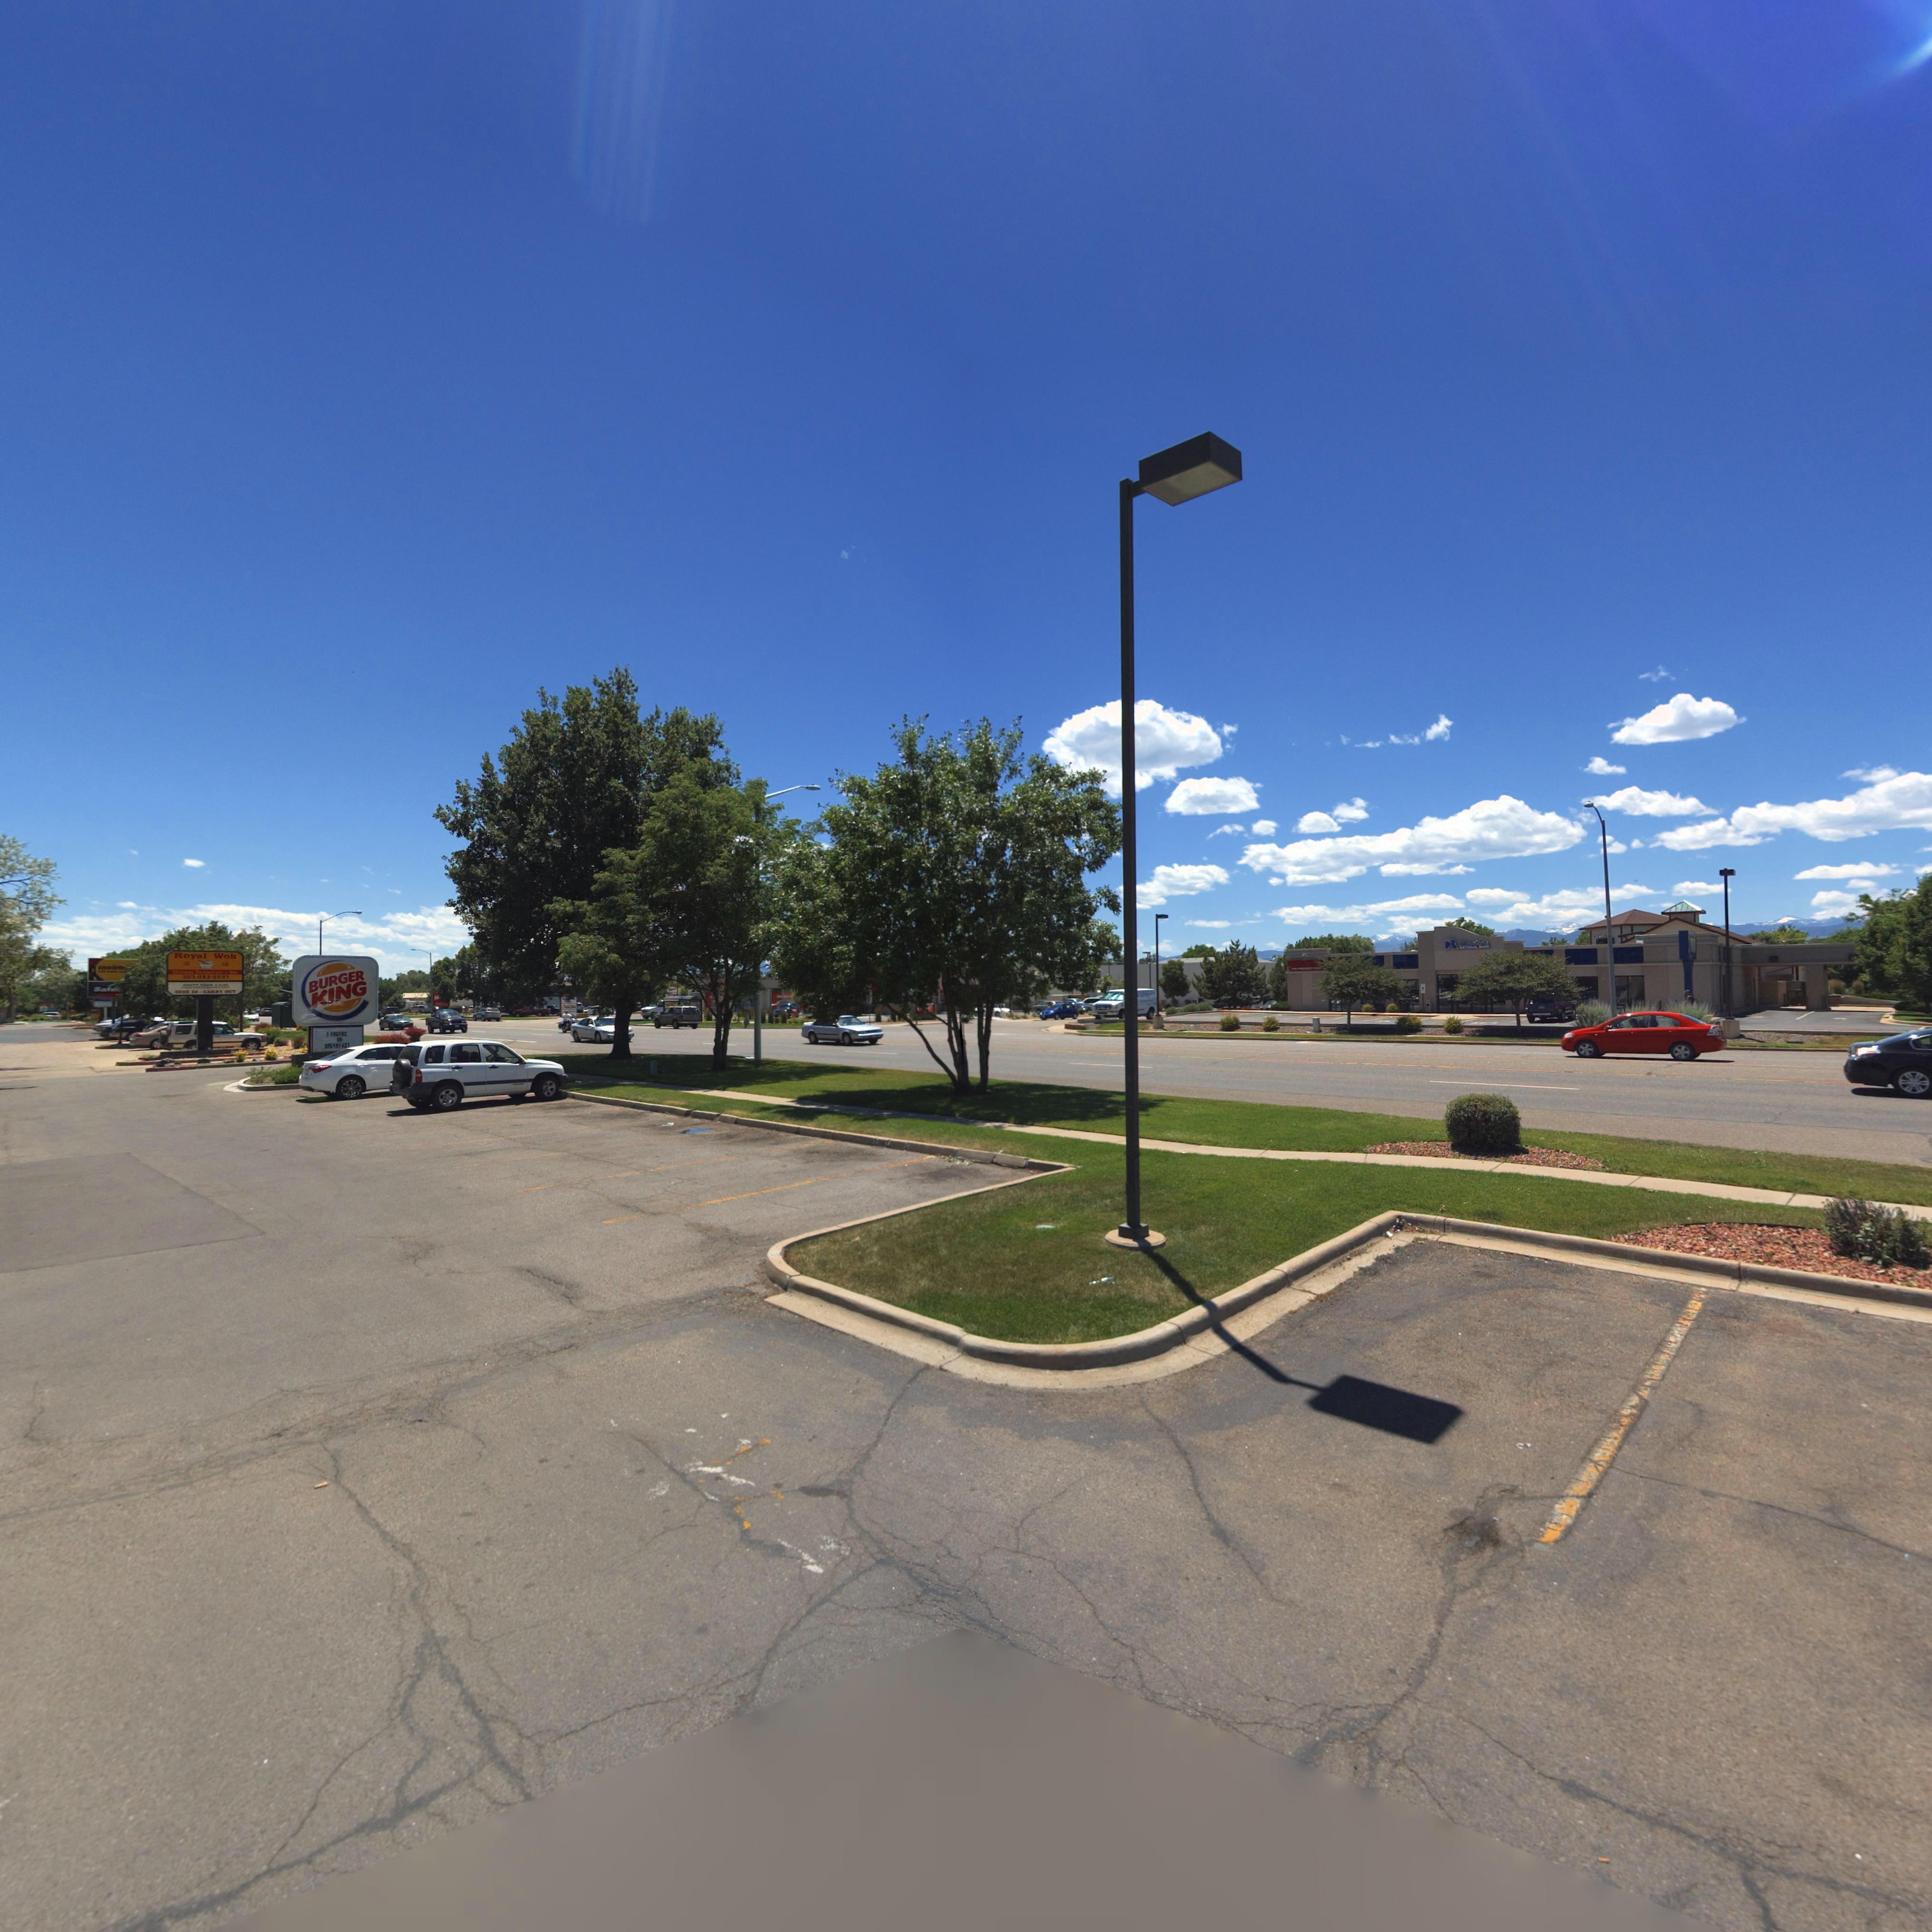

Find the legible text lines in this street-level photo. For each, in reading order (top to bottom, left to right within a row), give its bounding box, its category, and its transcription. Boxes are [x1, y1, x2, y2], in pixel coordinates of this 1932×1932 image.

[174, 952, 238, 959] BusinessName: Royal Wok
[97, 965, 123, 970] BusinessName: mein
[309, 970, 365, 993] BusinessName: BURGER
[93, 986, 116, 992] StreetName: Safe
[311, 981, 367, 1009] BusinessName: KING
[434, 995, 439, 1001] BusinessName: W